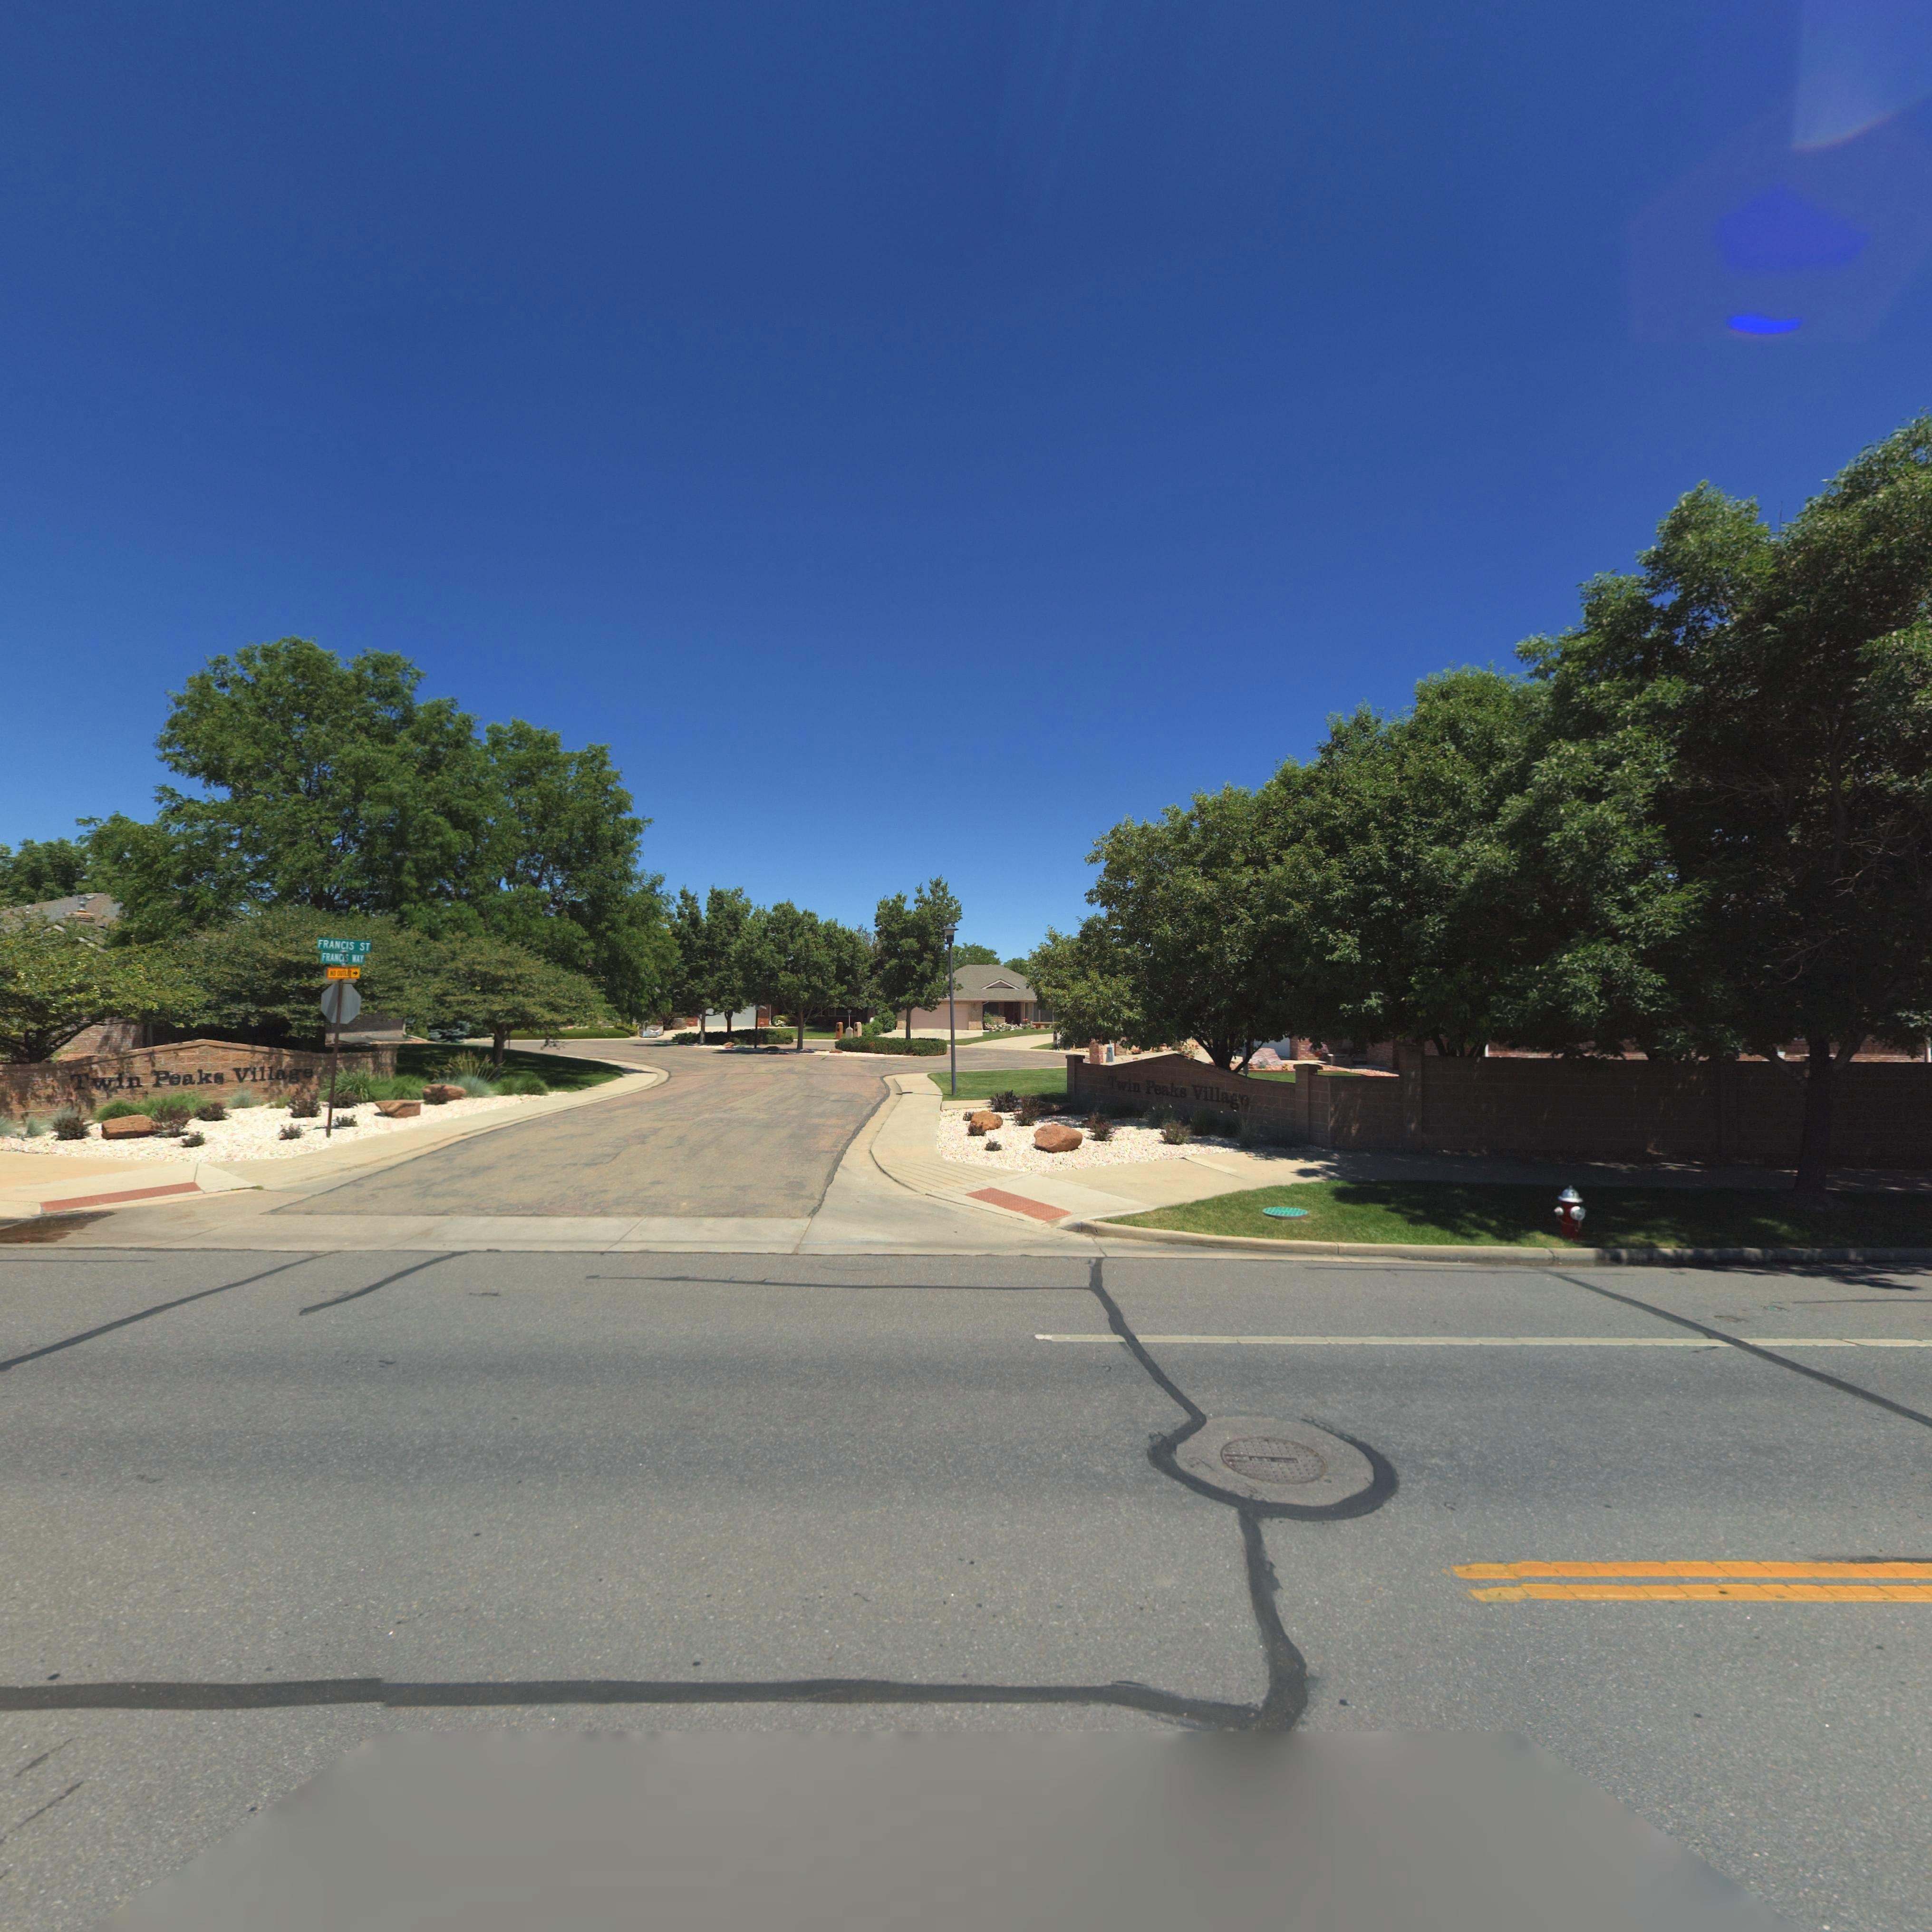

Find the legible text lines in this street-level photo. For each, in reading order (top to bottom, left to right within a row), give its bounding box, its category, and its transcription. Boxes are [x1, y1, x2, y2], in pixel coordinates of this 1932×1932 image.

[318, 939, 370, 951] StreetName: FRANCIS ST
[321, 952, 364, 963] StreetName: FRANCIS WAY